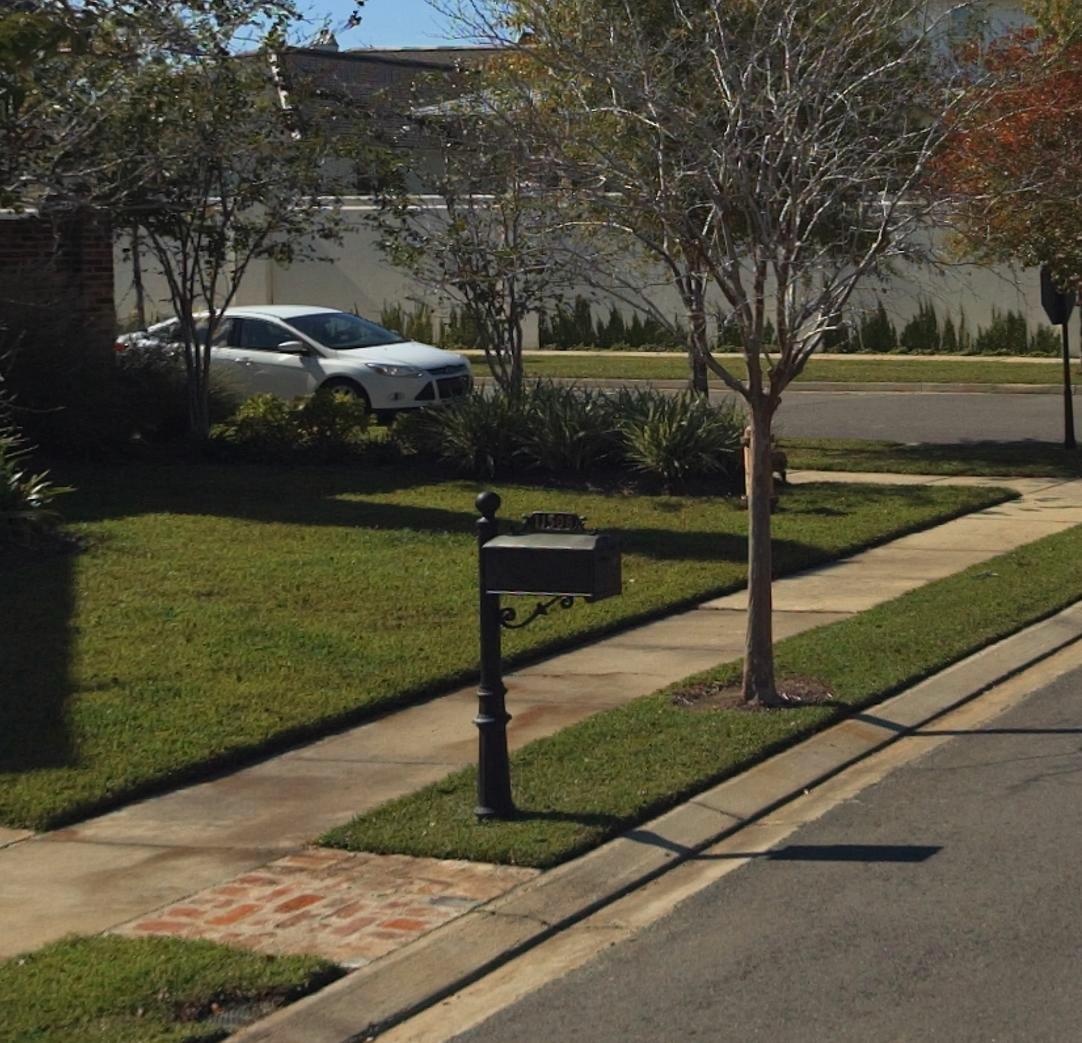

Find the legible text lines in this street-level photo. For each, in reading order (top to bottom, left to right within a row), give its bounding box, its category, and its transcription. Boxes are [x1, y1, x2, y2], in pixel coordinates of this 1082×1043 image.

[533, 514, 573, 530] StreetNumber: 11508